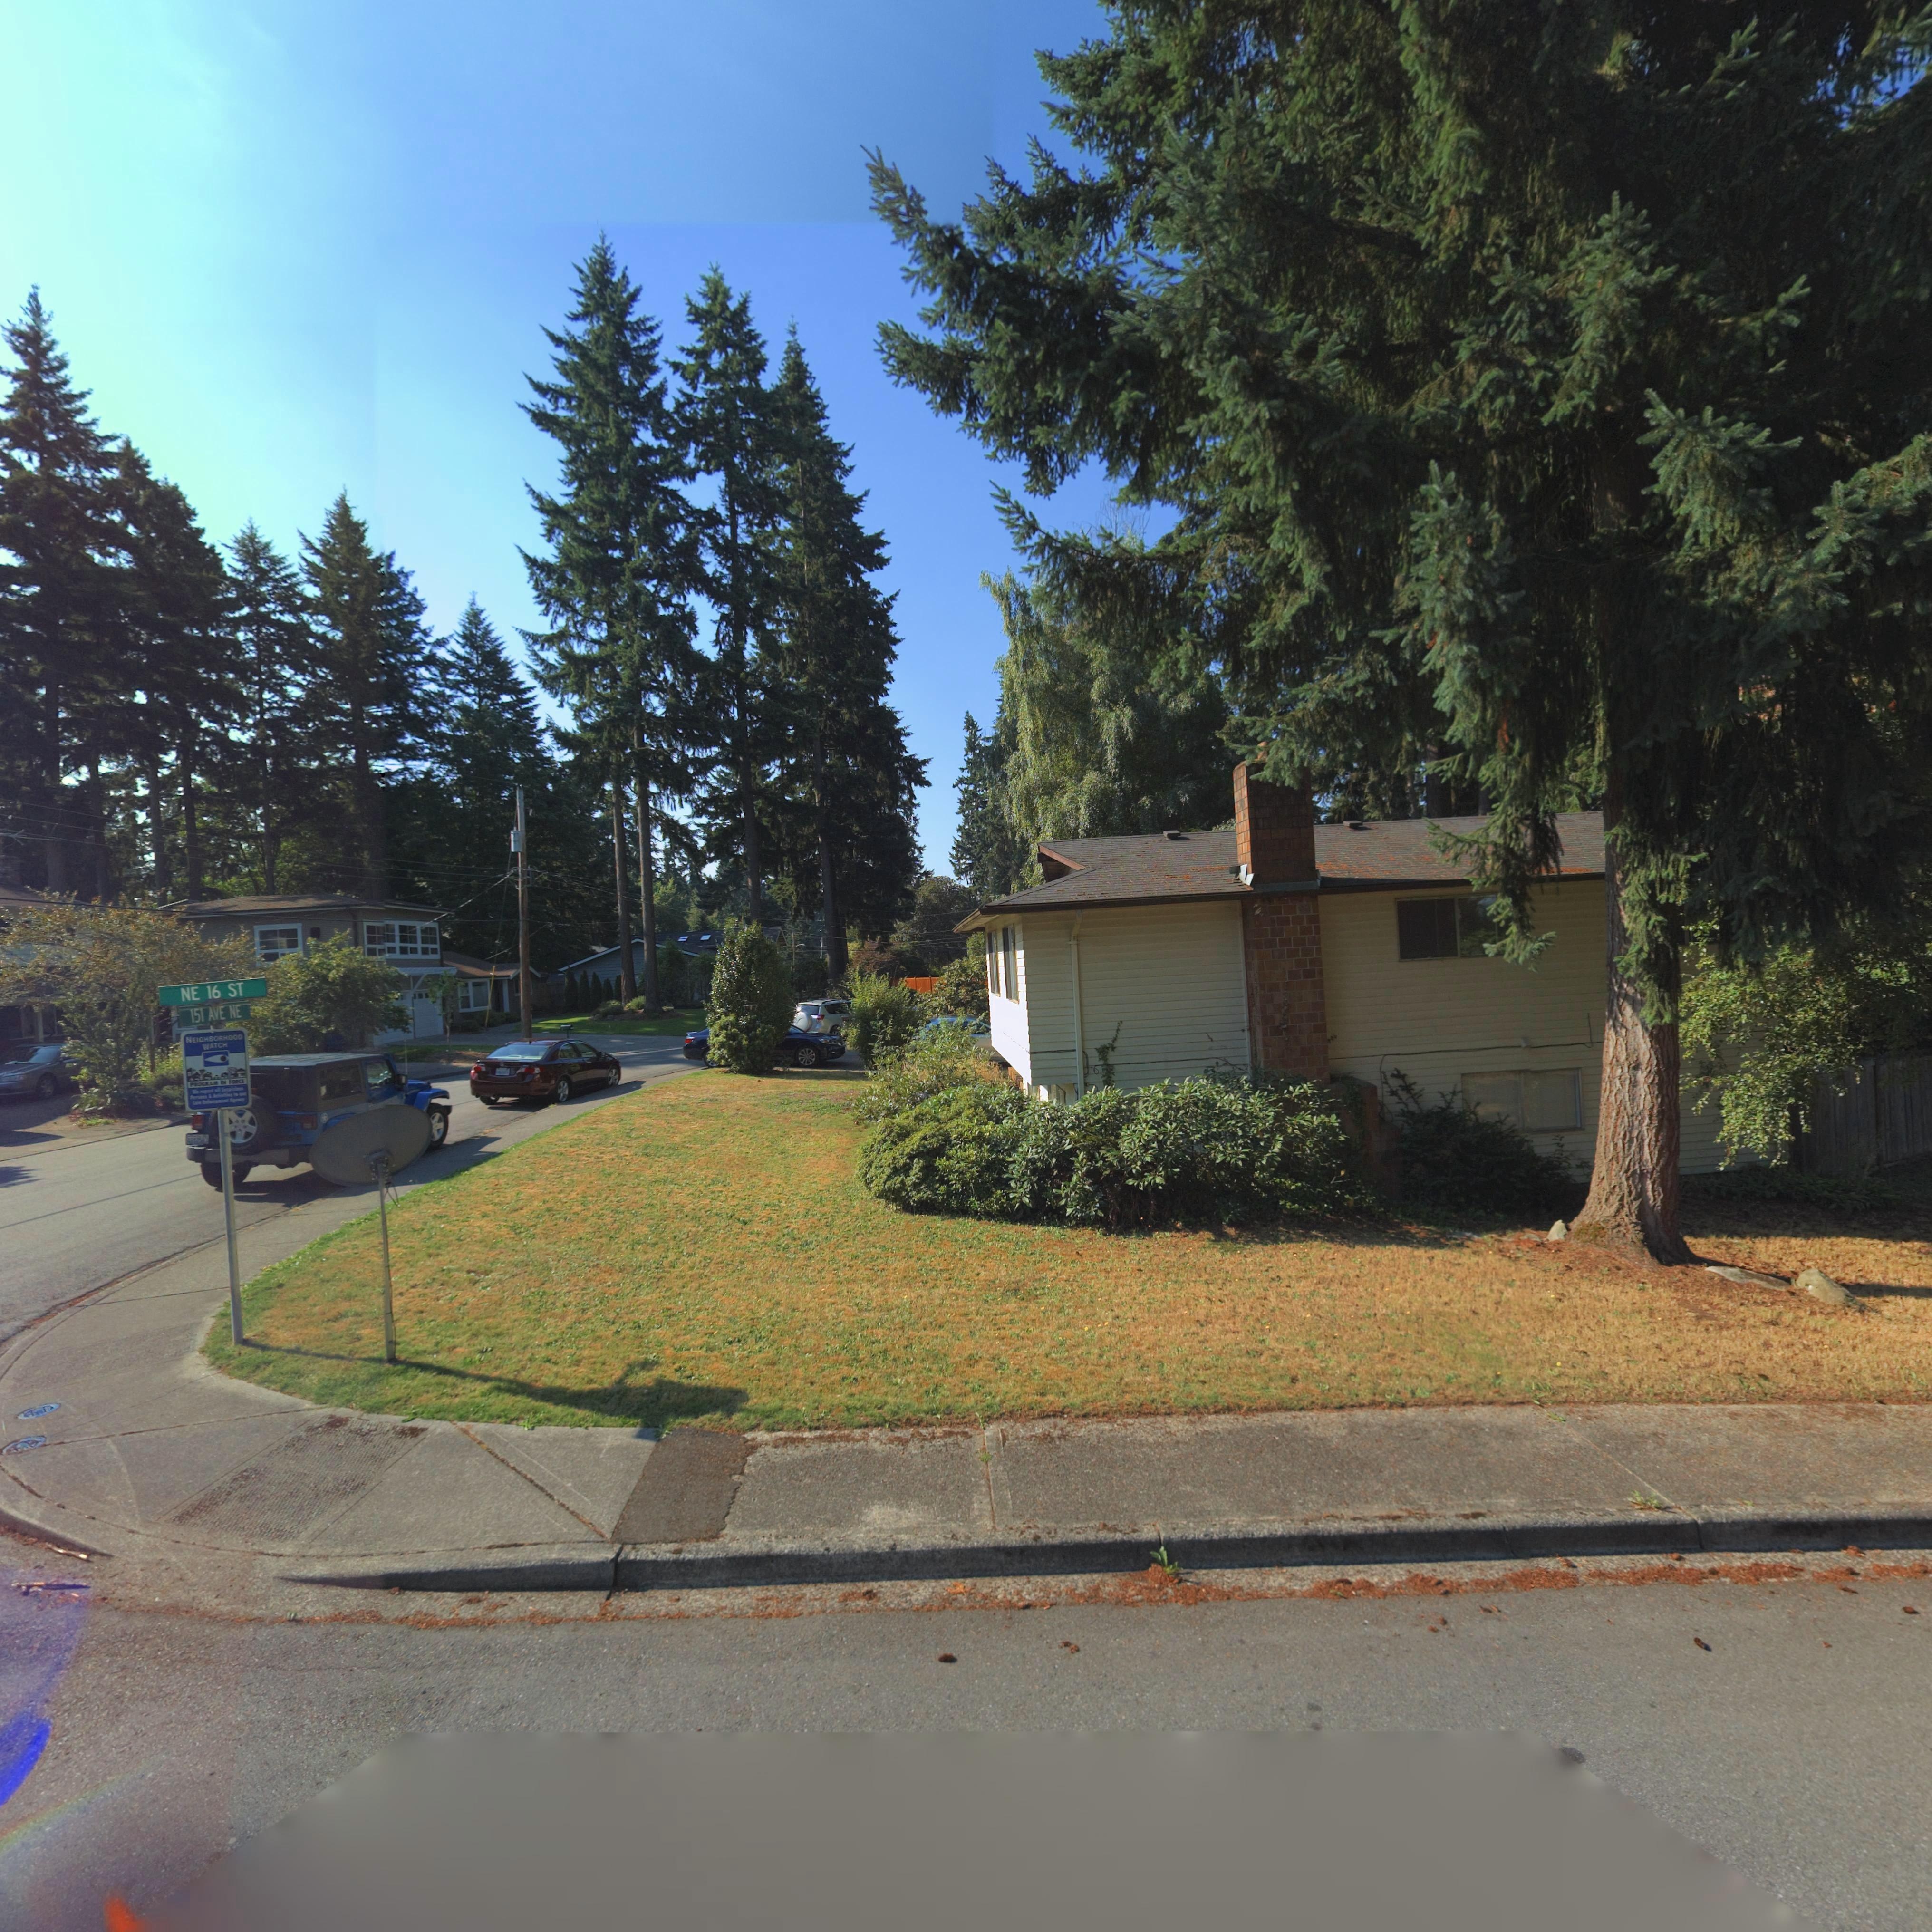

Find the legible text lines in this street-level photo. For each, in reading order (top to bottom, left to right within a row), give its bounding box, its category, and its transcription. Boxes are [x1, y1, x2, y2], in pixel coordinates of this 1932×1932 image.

[181, 982, 243, 1001] StreetName: NE 16  ST
[191, 1004, 242, 1024] StreetName: 151 AVE NE